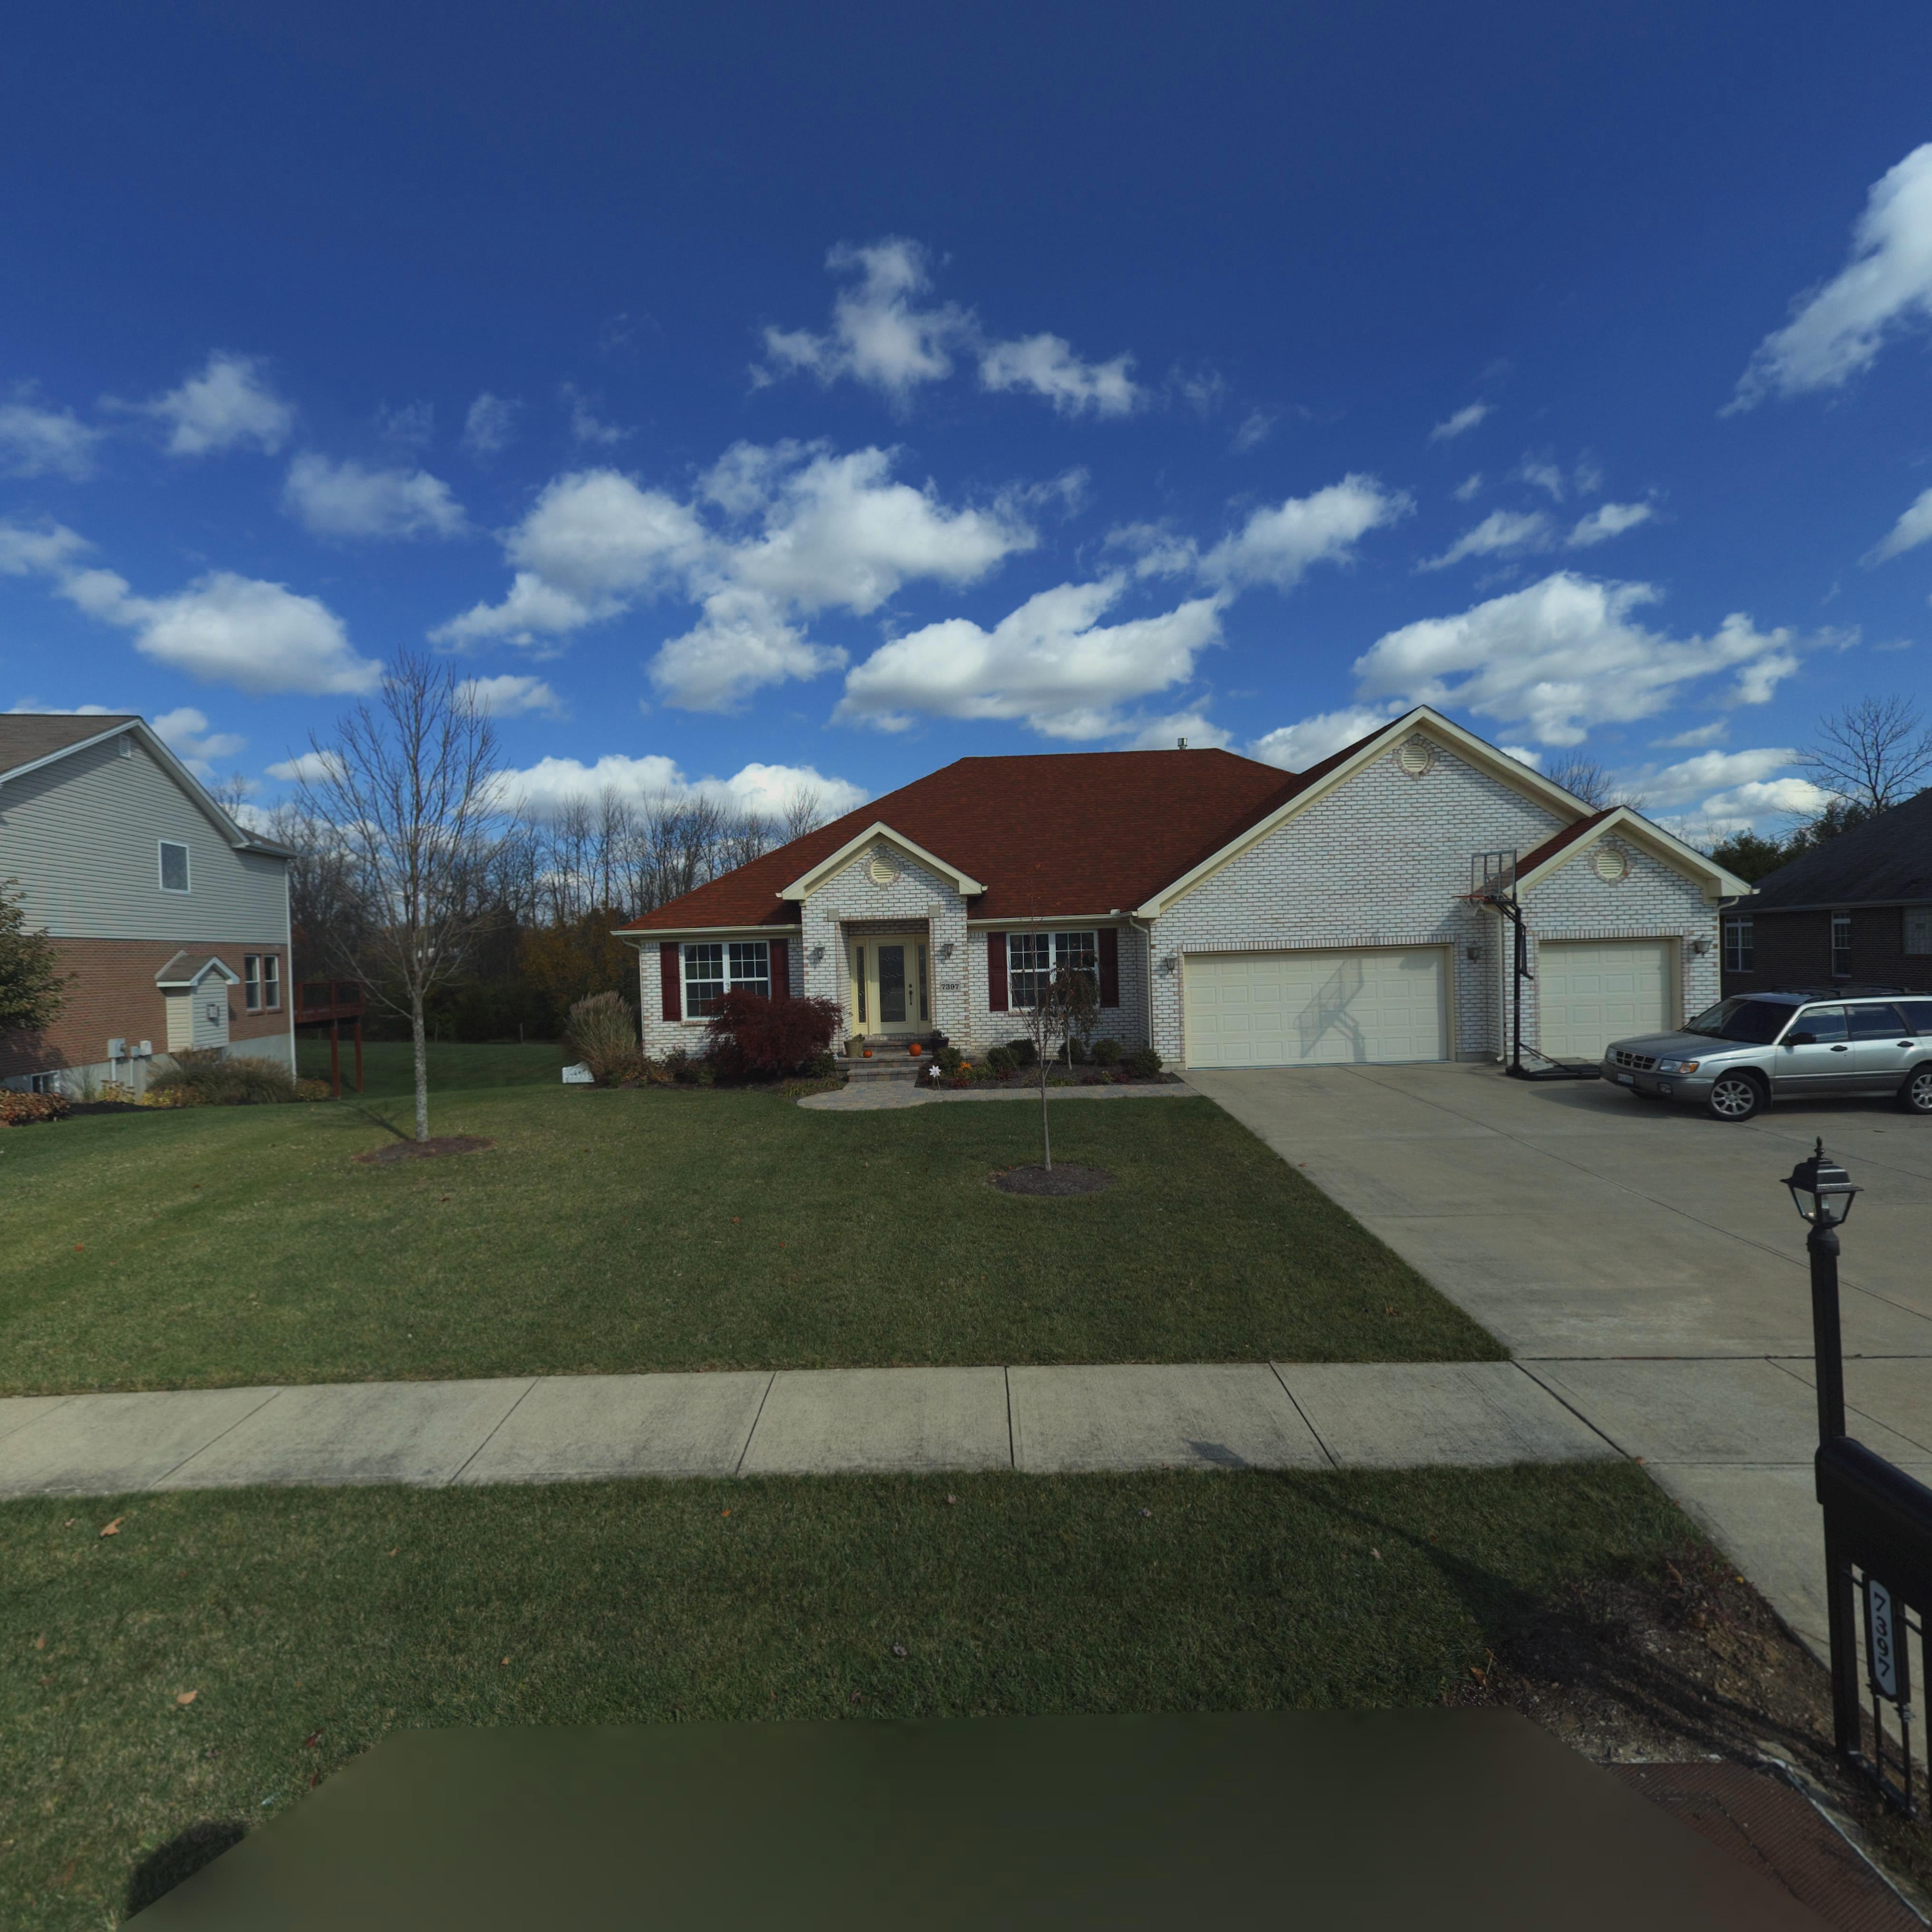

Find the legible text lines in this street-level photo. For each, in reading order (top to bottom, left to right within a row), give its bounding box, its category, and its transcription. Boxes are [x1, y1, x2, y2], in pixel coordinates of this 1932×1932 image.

[941, 984, 960, 990] StreetNumber: 7397
[1873, 1589, 1892, 1681] StreetNumber: 7397